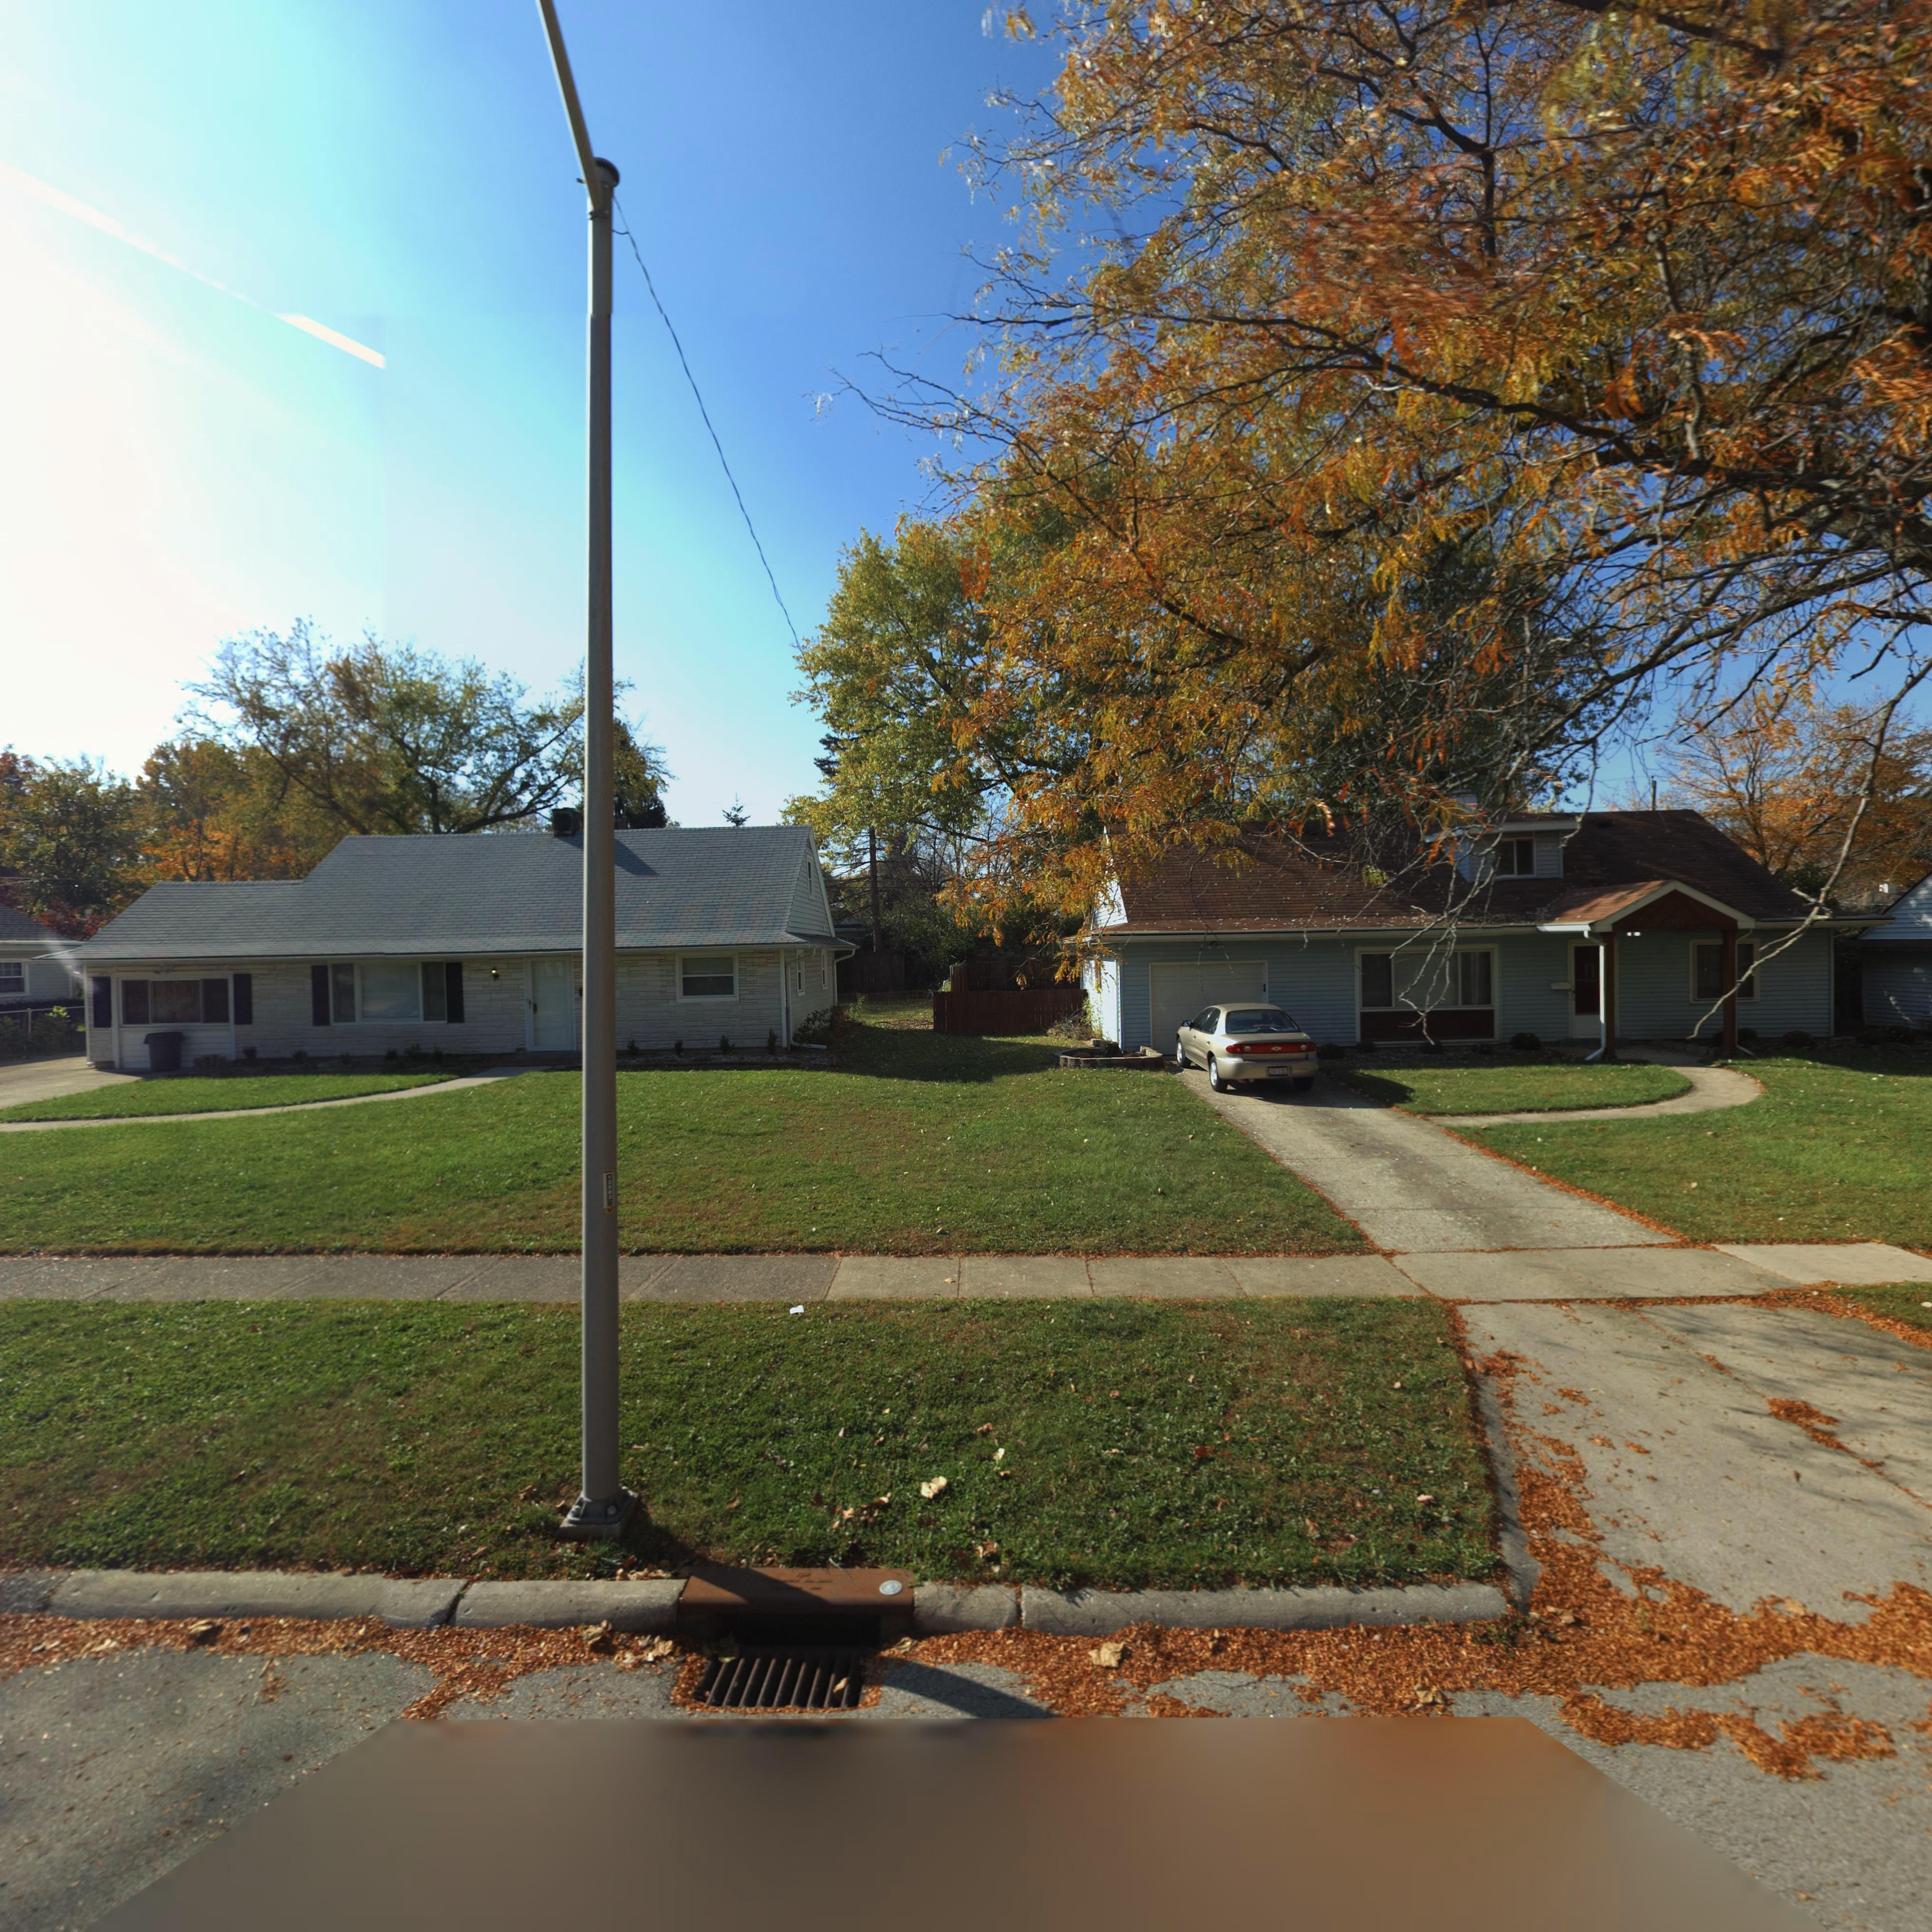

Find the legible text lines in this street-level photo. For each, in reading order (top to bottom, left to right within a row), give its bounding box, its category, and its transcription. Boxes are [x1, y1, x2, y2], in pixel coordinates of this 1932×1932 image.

[607, 1174, 613, 1200] None: 13503